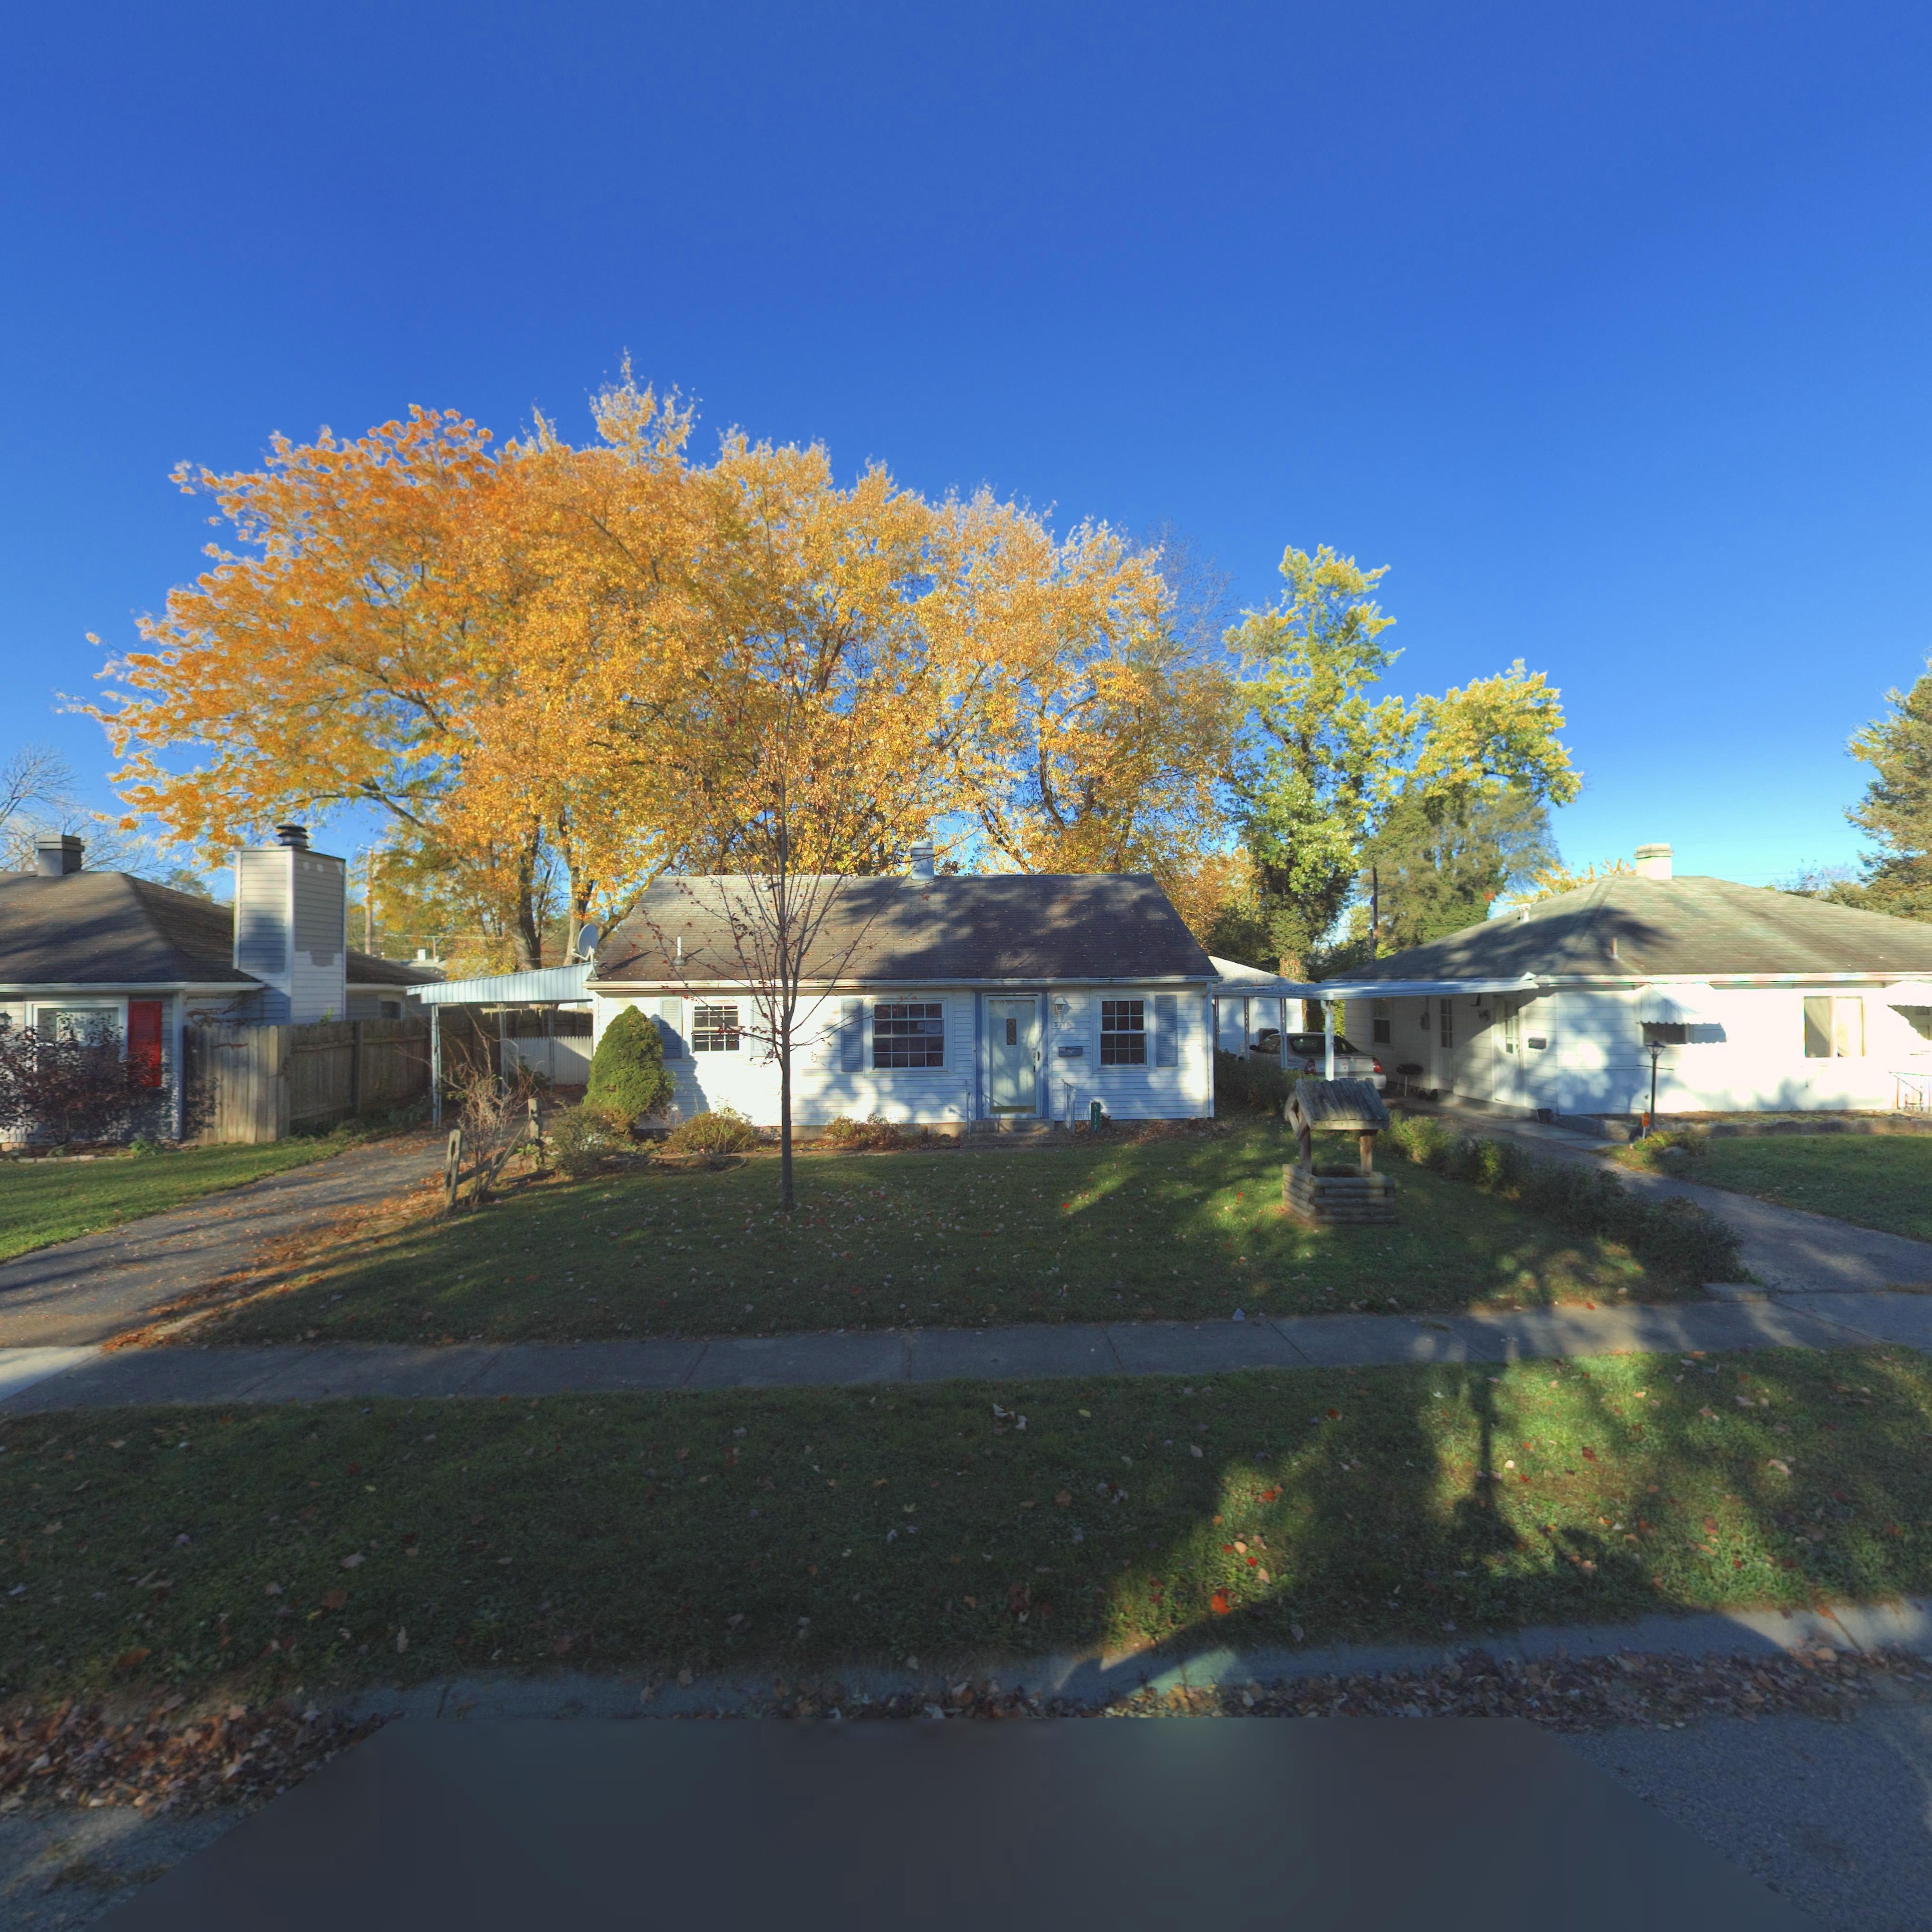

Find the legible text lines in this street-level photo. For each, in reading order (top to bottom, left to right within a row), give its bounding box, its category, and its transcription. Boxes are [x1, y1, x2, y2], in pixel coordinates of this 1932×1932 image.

[1054, 1022, 1070, 1028] StreetNumber: 5117
[1093, 1103, 1098, 1130] StreetNumber: 5117